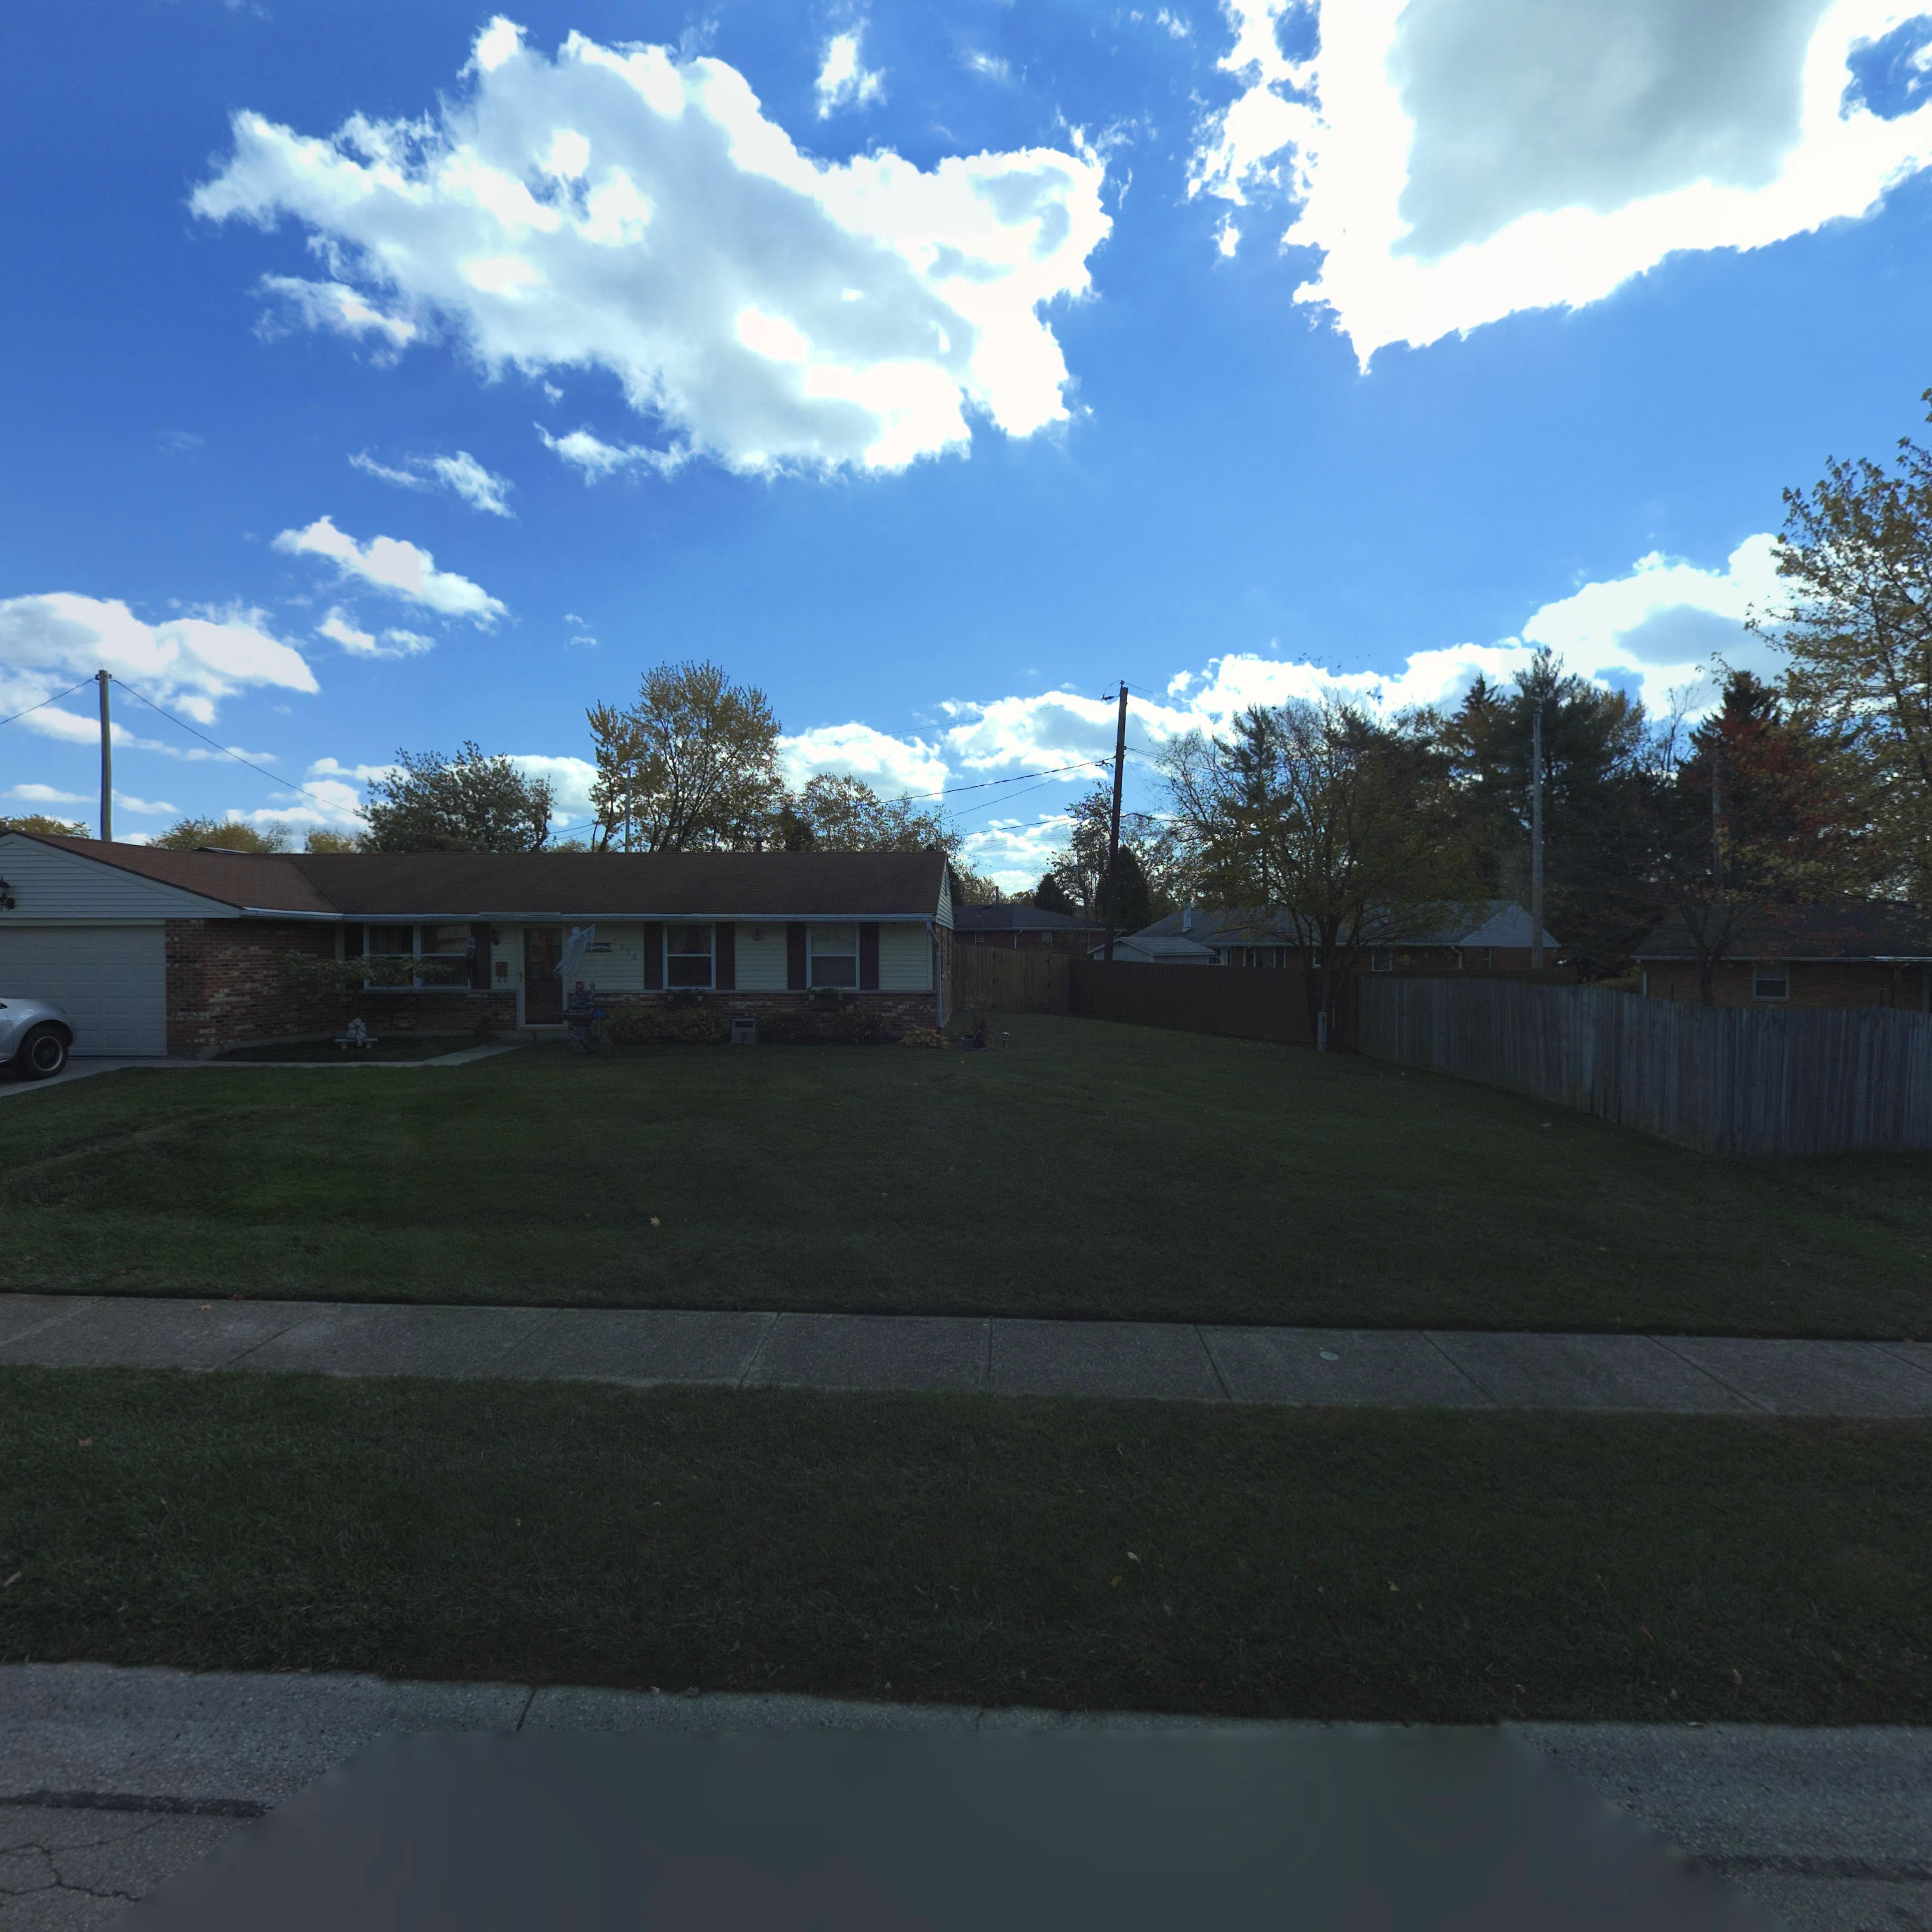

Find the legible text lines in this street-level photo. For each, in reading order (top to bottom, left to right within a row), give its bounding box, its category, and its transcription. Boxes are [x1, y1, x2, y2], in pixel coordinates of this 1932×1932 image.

[612, 938, 638, 961] StreetNumber: 7550